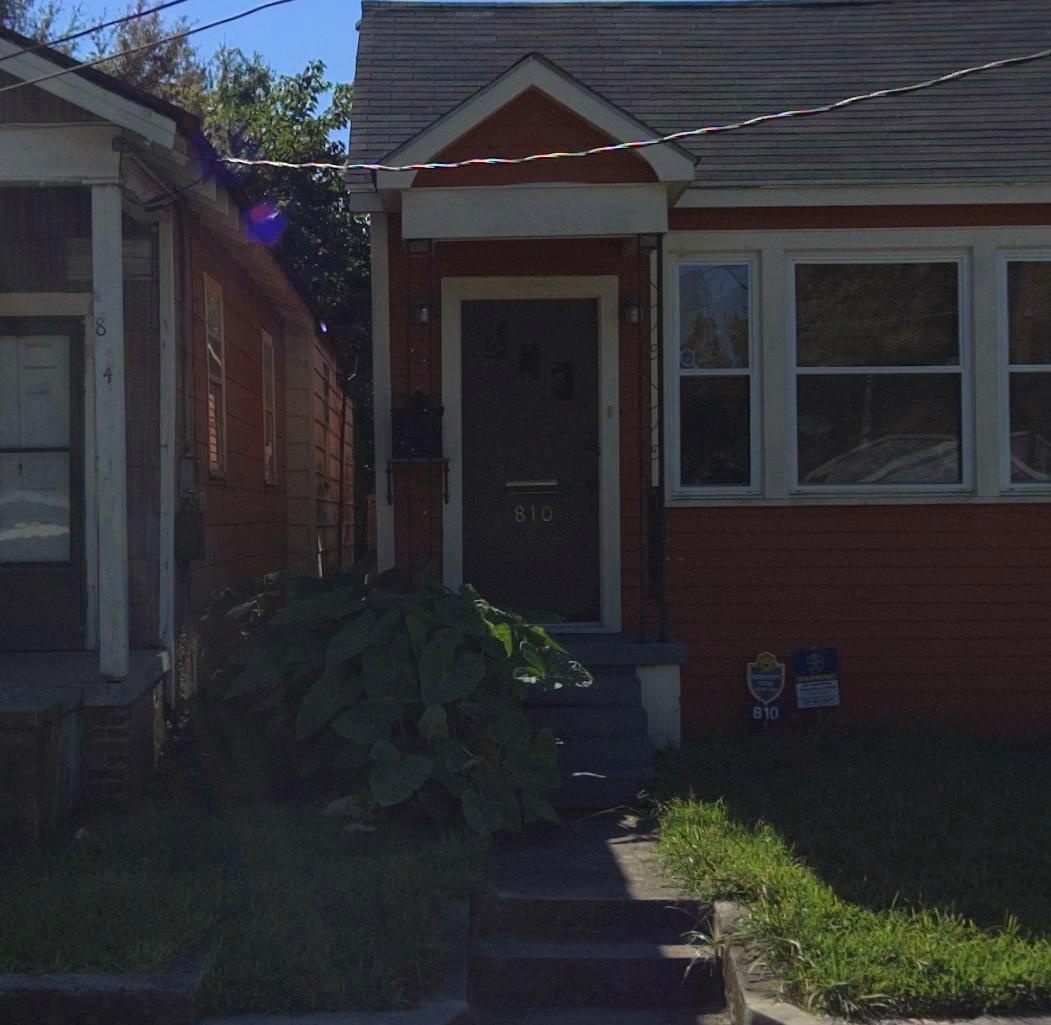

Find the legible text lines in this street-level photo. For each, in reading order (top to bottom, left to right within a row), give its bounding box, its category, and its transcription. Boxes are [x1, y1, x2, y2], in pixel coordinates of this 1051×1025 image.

[512, 502, 556, 527] StreetNumber: 810
[751, 703, 782, 722] None: 810